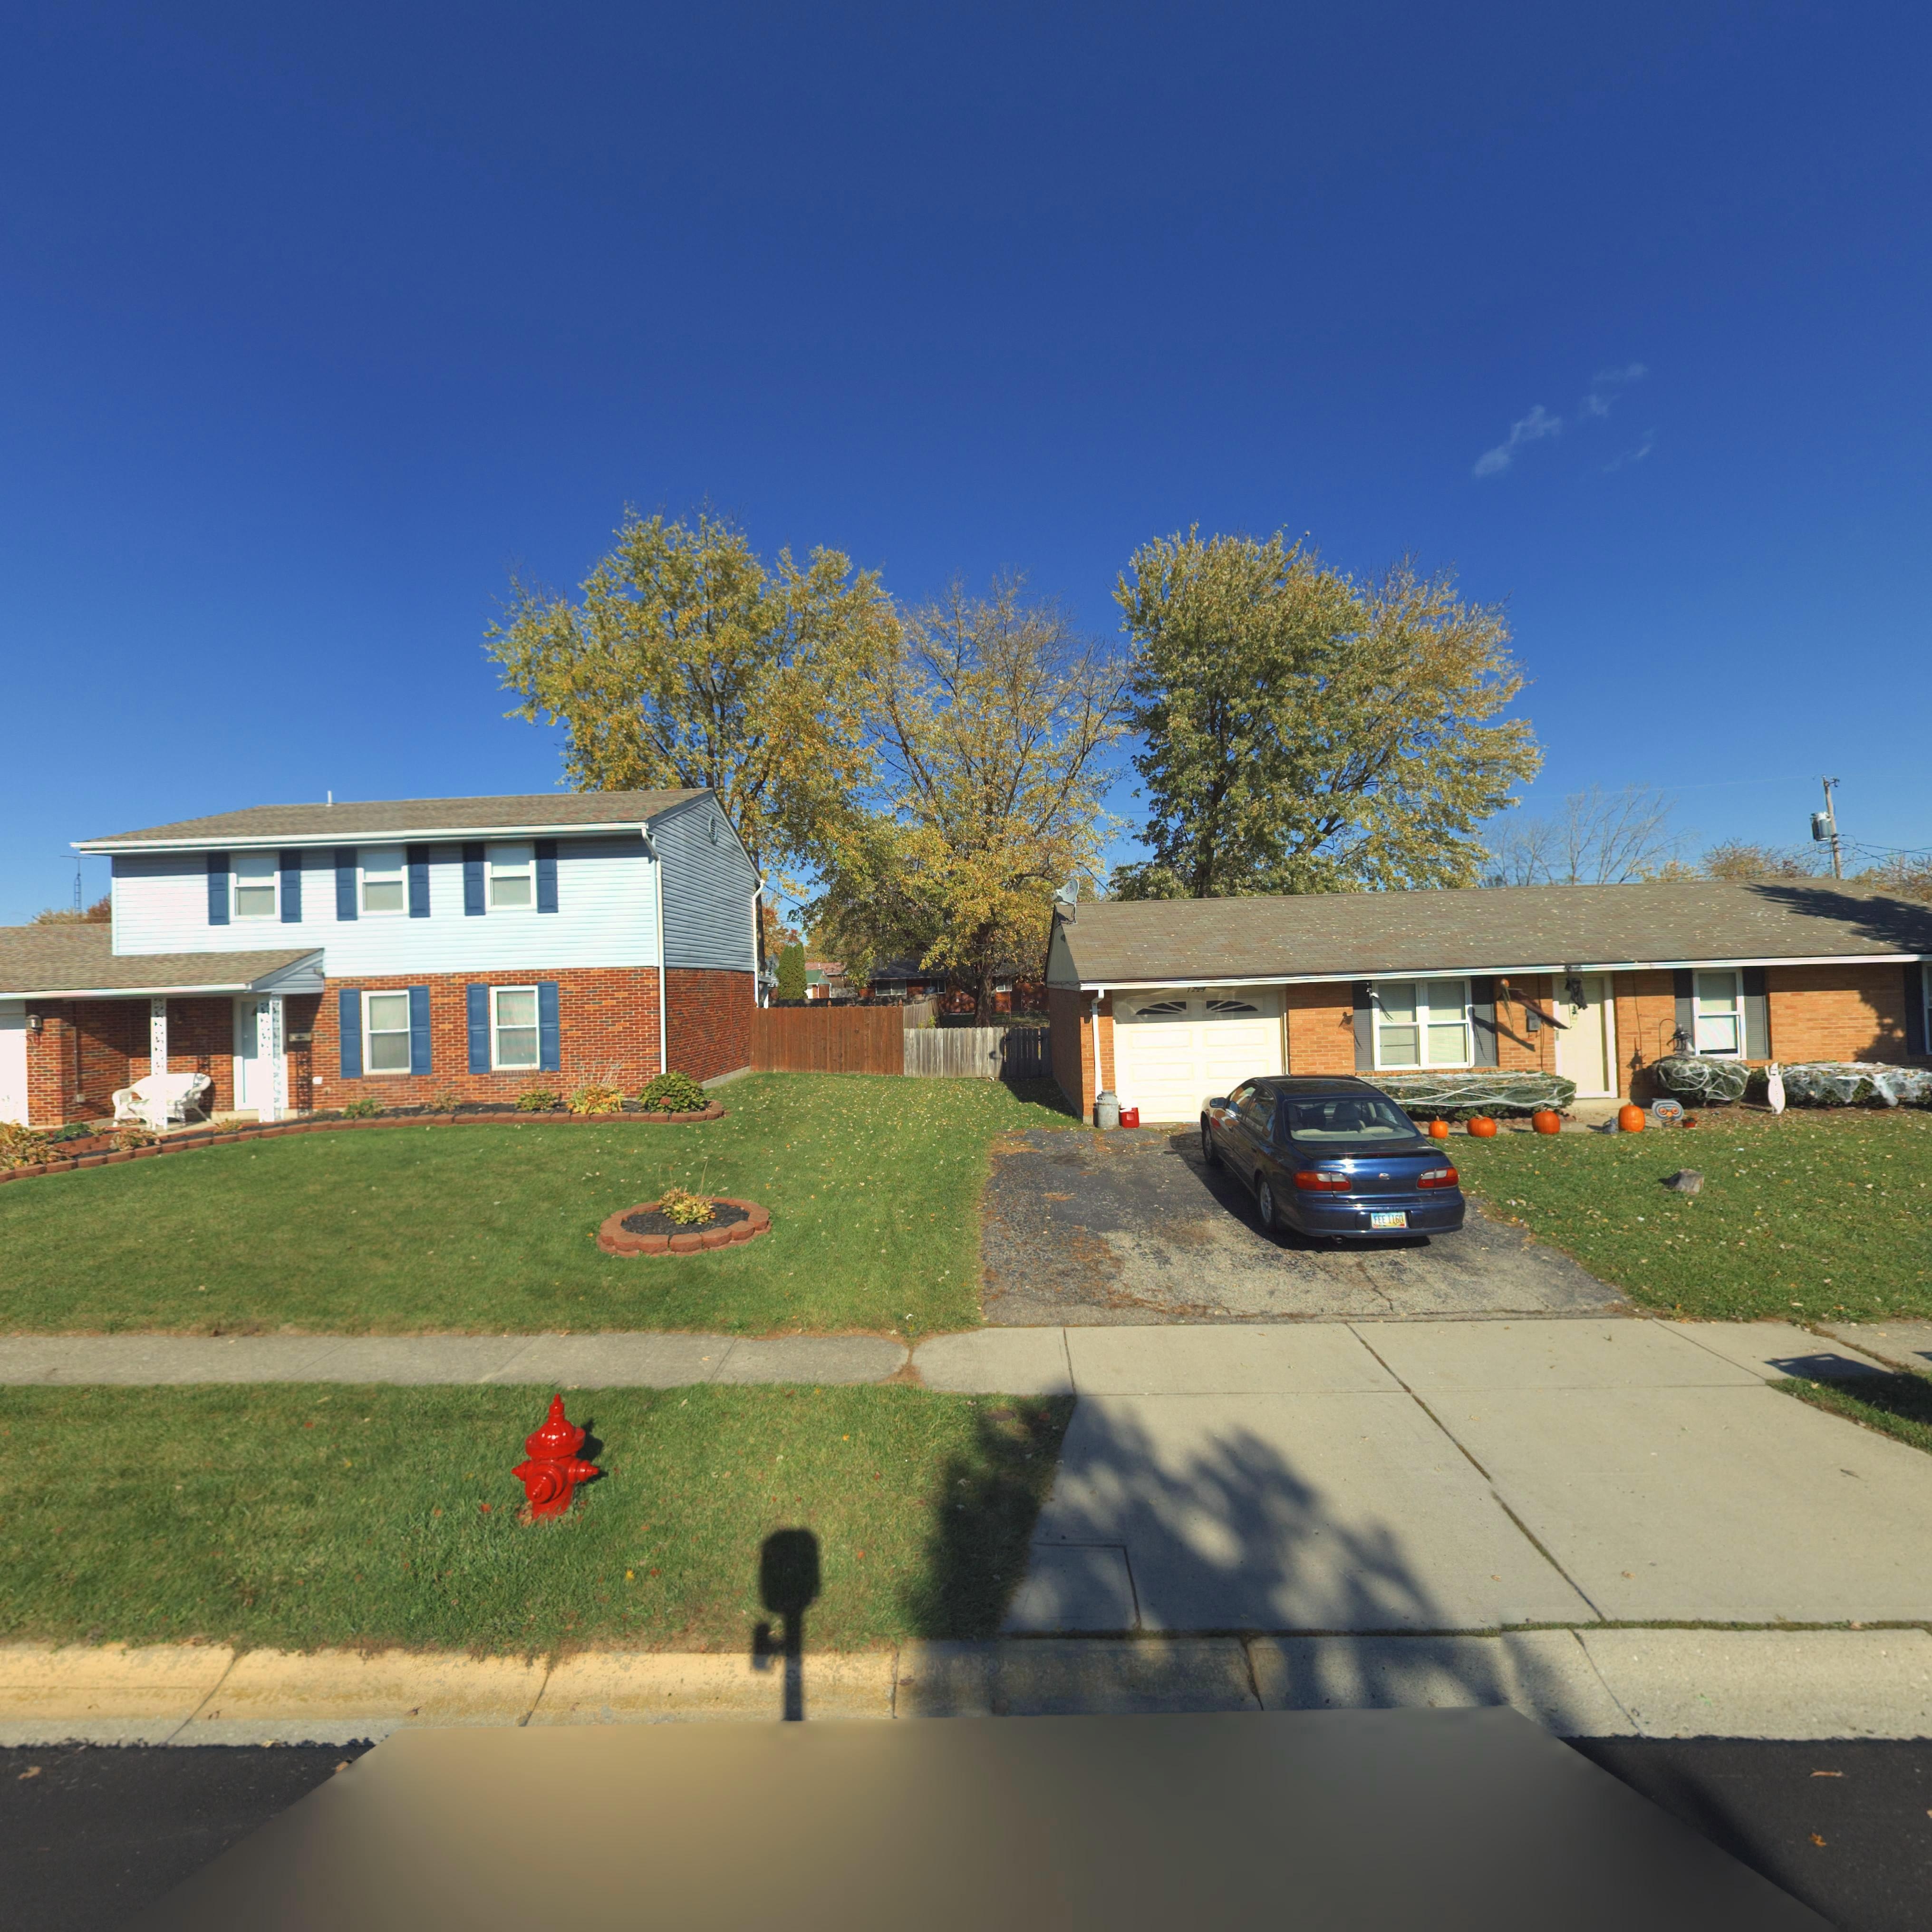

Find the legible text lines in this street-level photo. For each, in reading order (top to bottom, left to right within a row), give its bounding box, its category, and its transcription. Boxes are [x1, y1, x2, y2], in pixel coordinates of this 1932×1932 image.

[1186, 986, 1196, 994] StreetNumber: 72